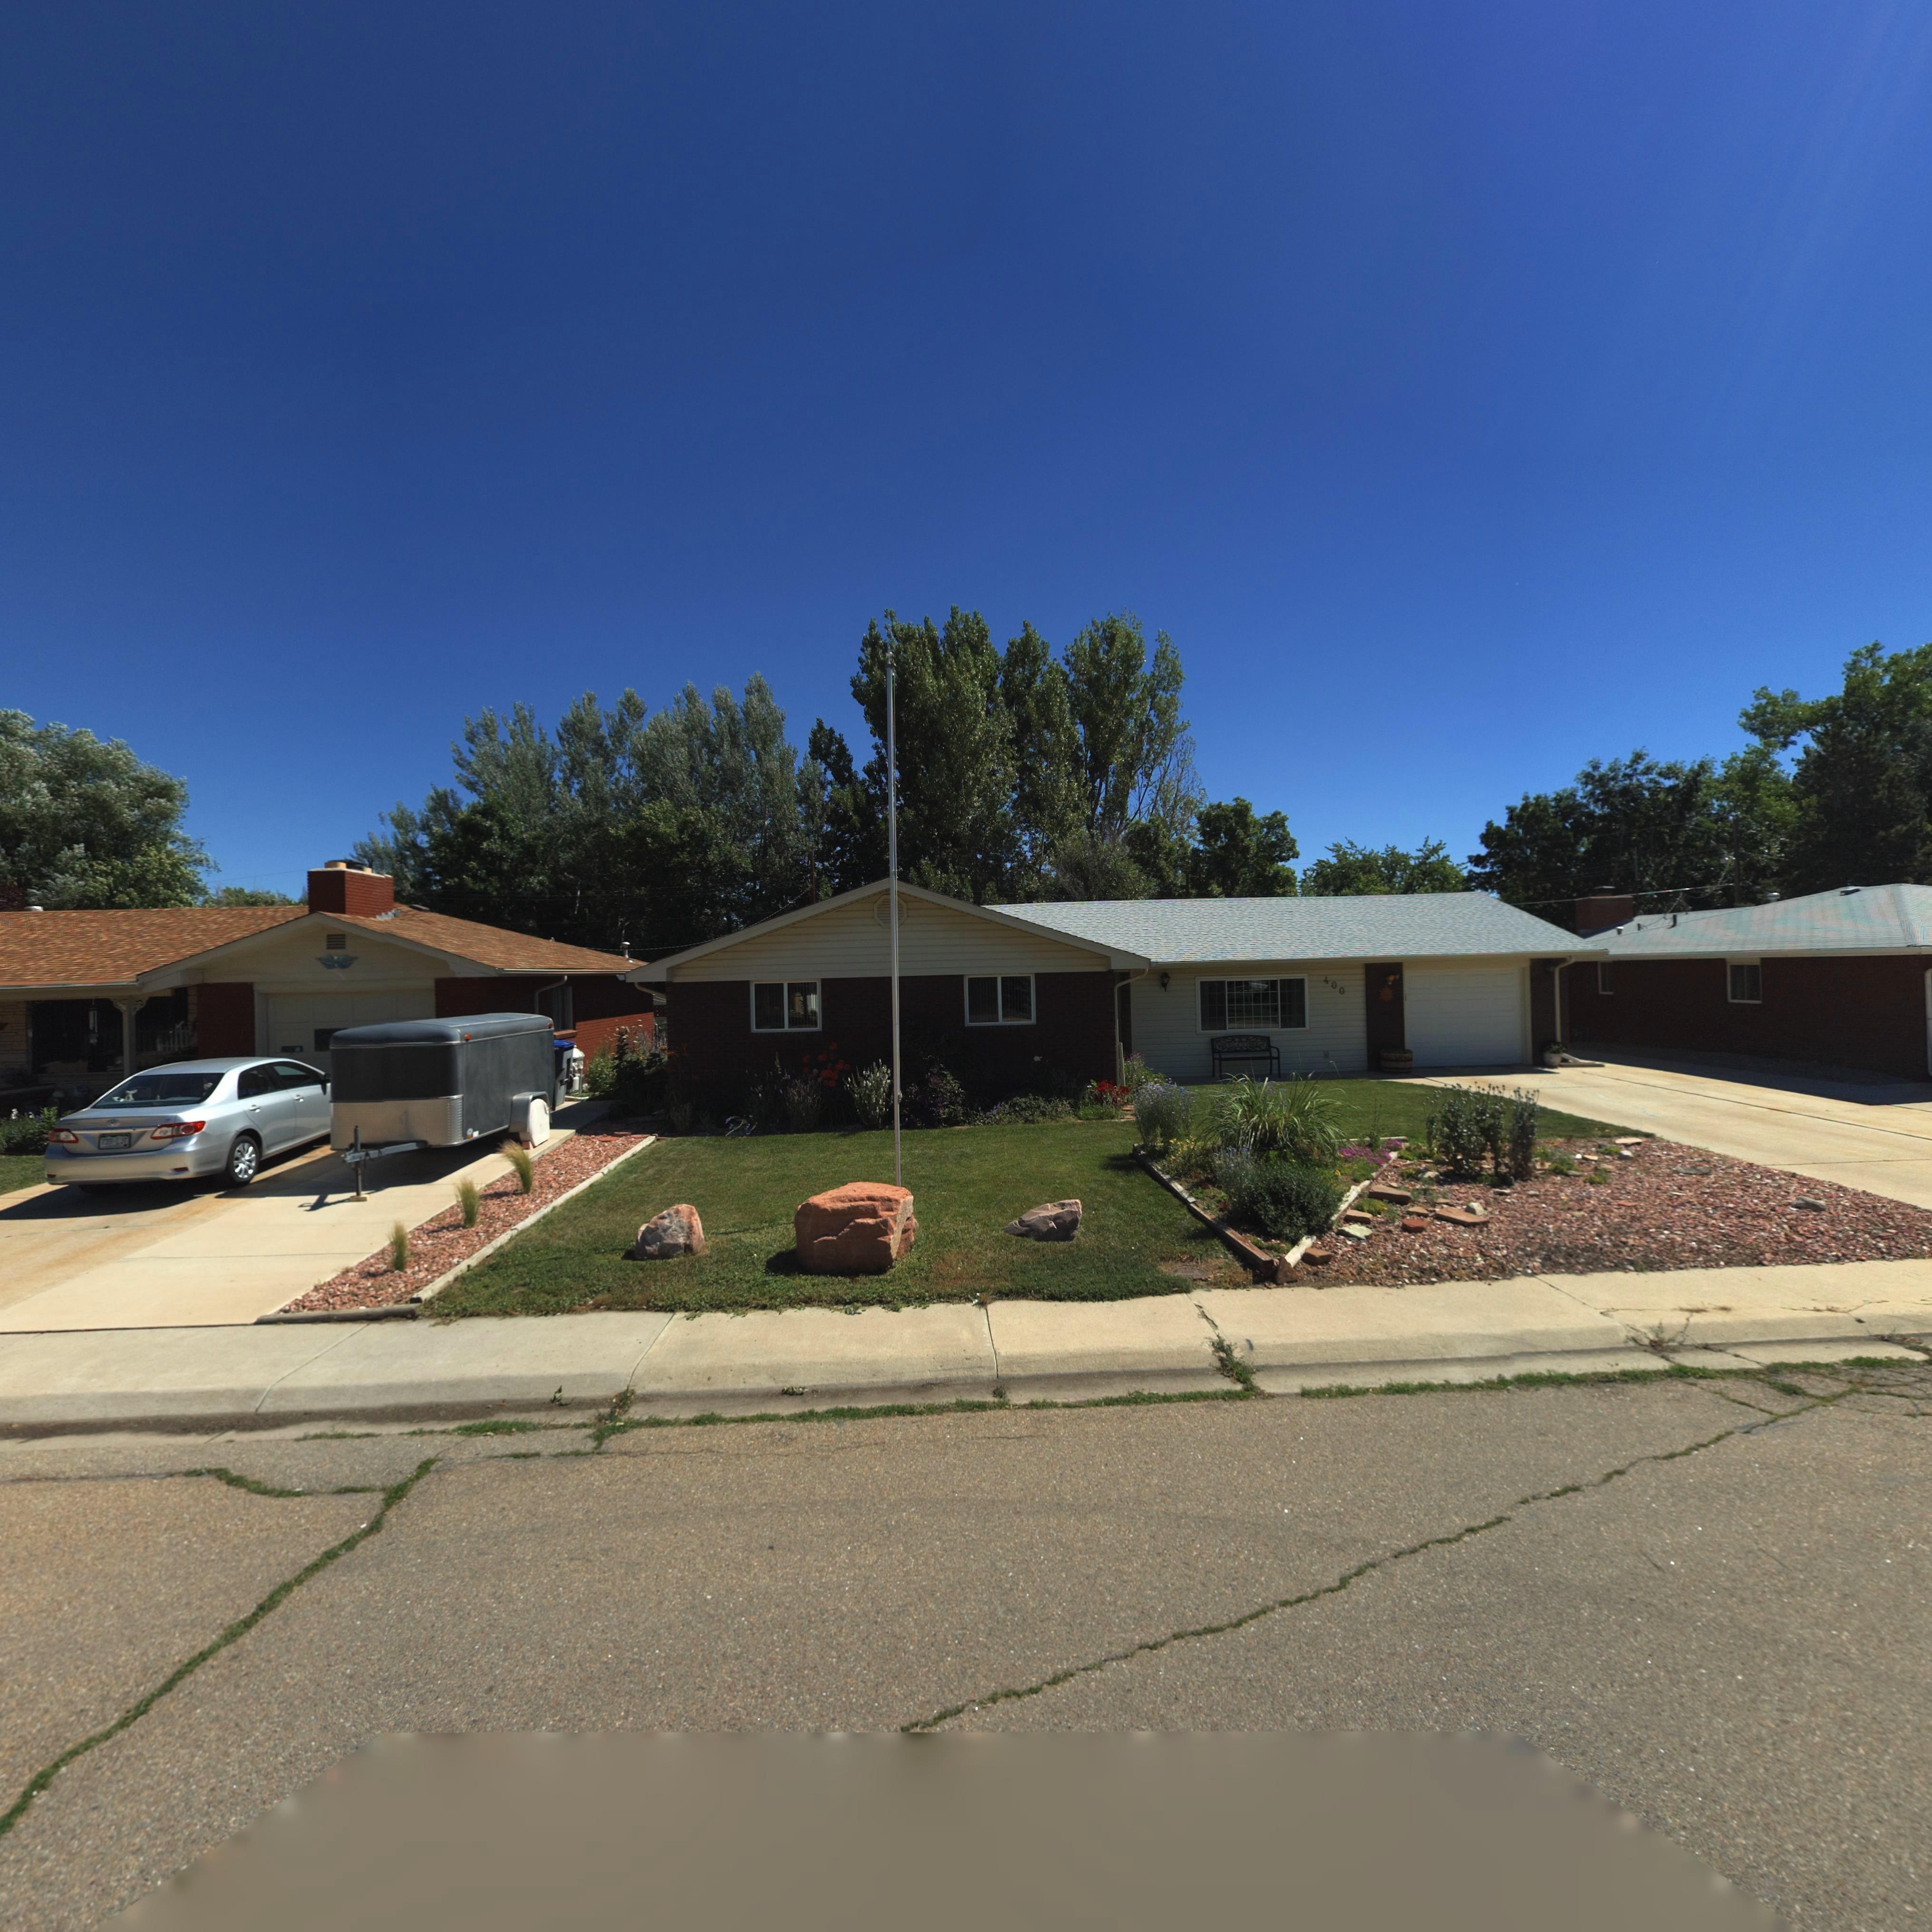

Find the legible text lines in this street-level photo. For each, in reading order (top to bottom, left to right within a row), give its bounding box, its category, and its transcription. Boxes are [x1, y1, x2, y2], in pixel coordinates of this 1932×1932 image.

[1323, 975, 1345, 995] StreetNumber: 400